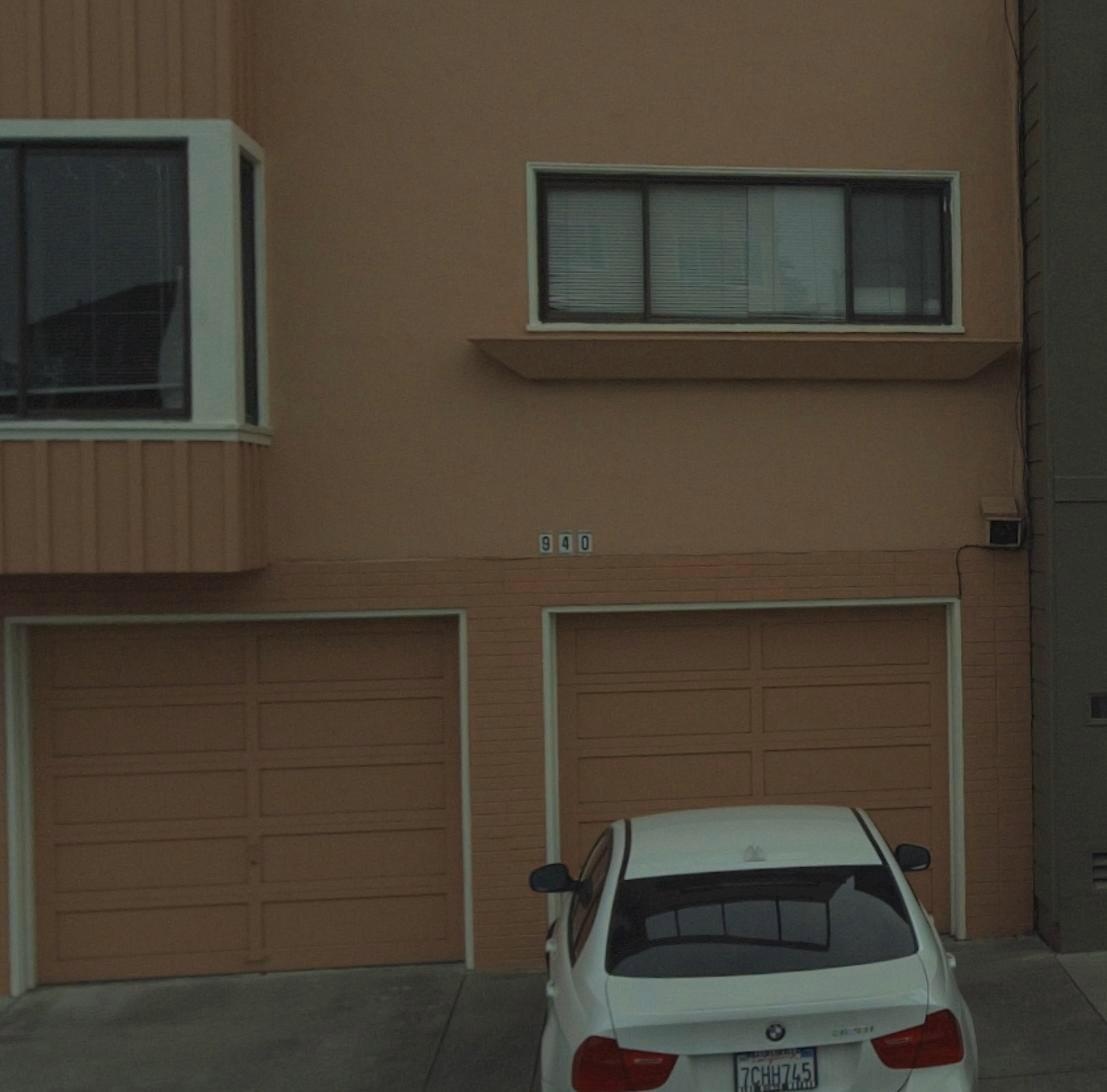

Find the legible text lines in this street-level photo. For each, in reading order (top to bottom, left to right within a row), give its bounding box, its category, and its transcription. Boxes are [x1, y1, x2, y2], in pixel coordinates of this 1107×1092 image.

[540, 534, 591, 552] StreetNumber: 940
[740, 1061, 814, 1088] None: 7CHH745